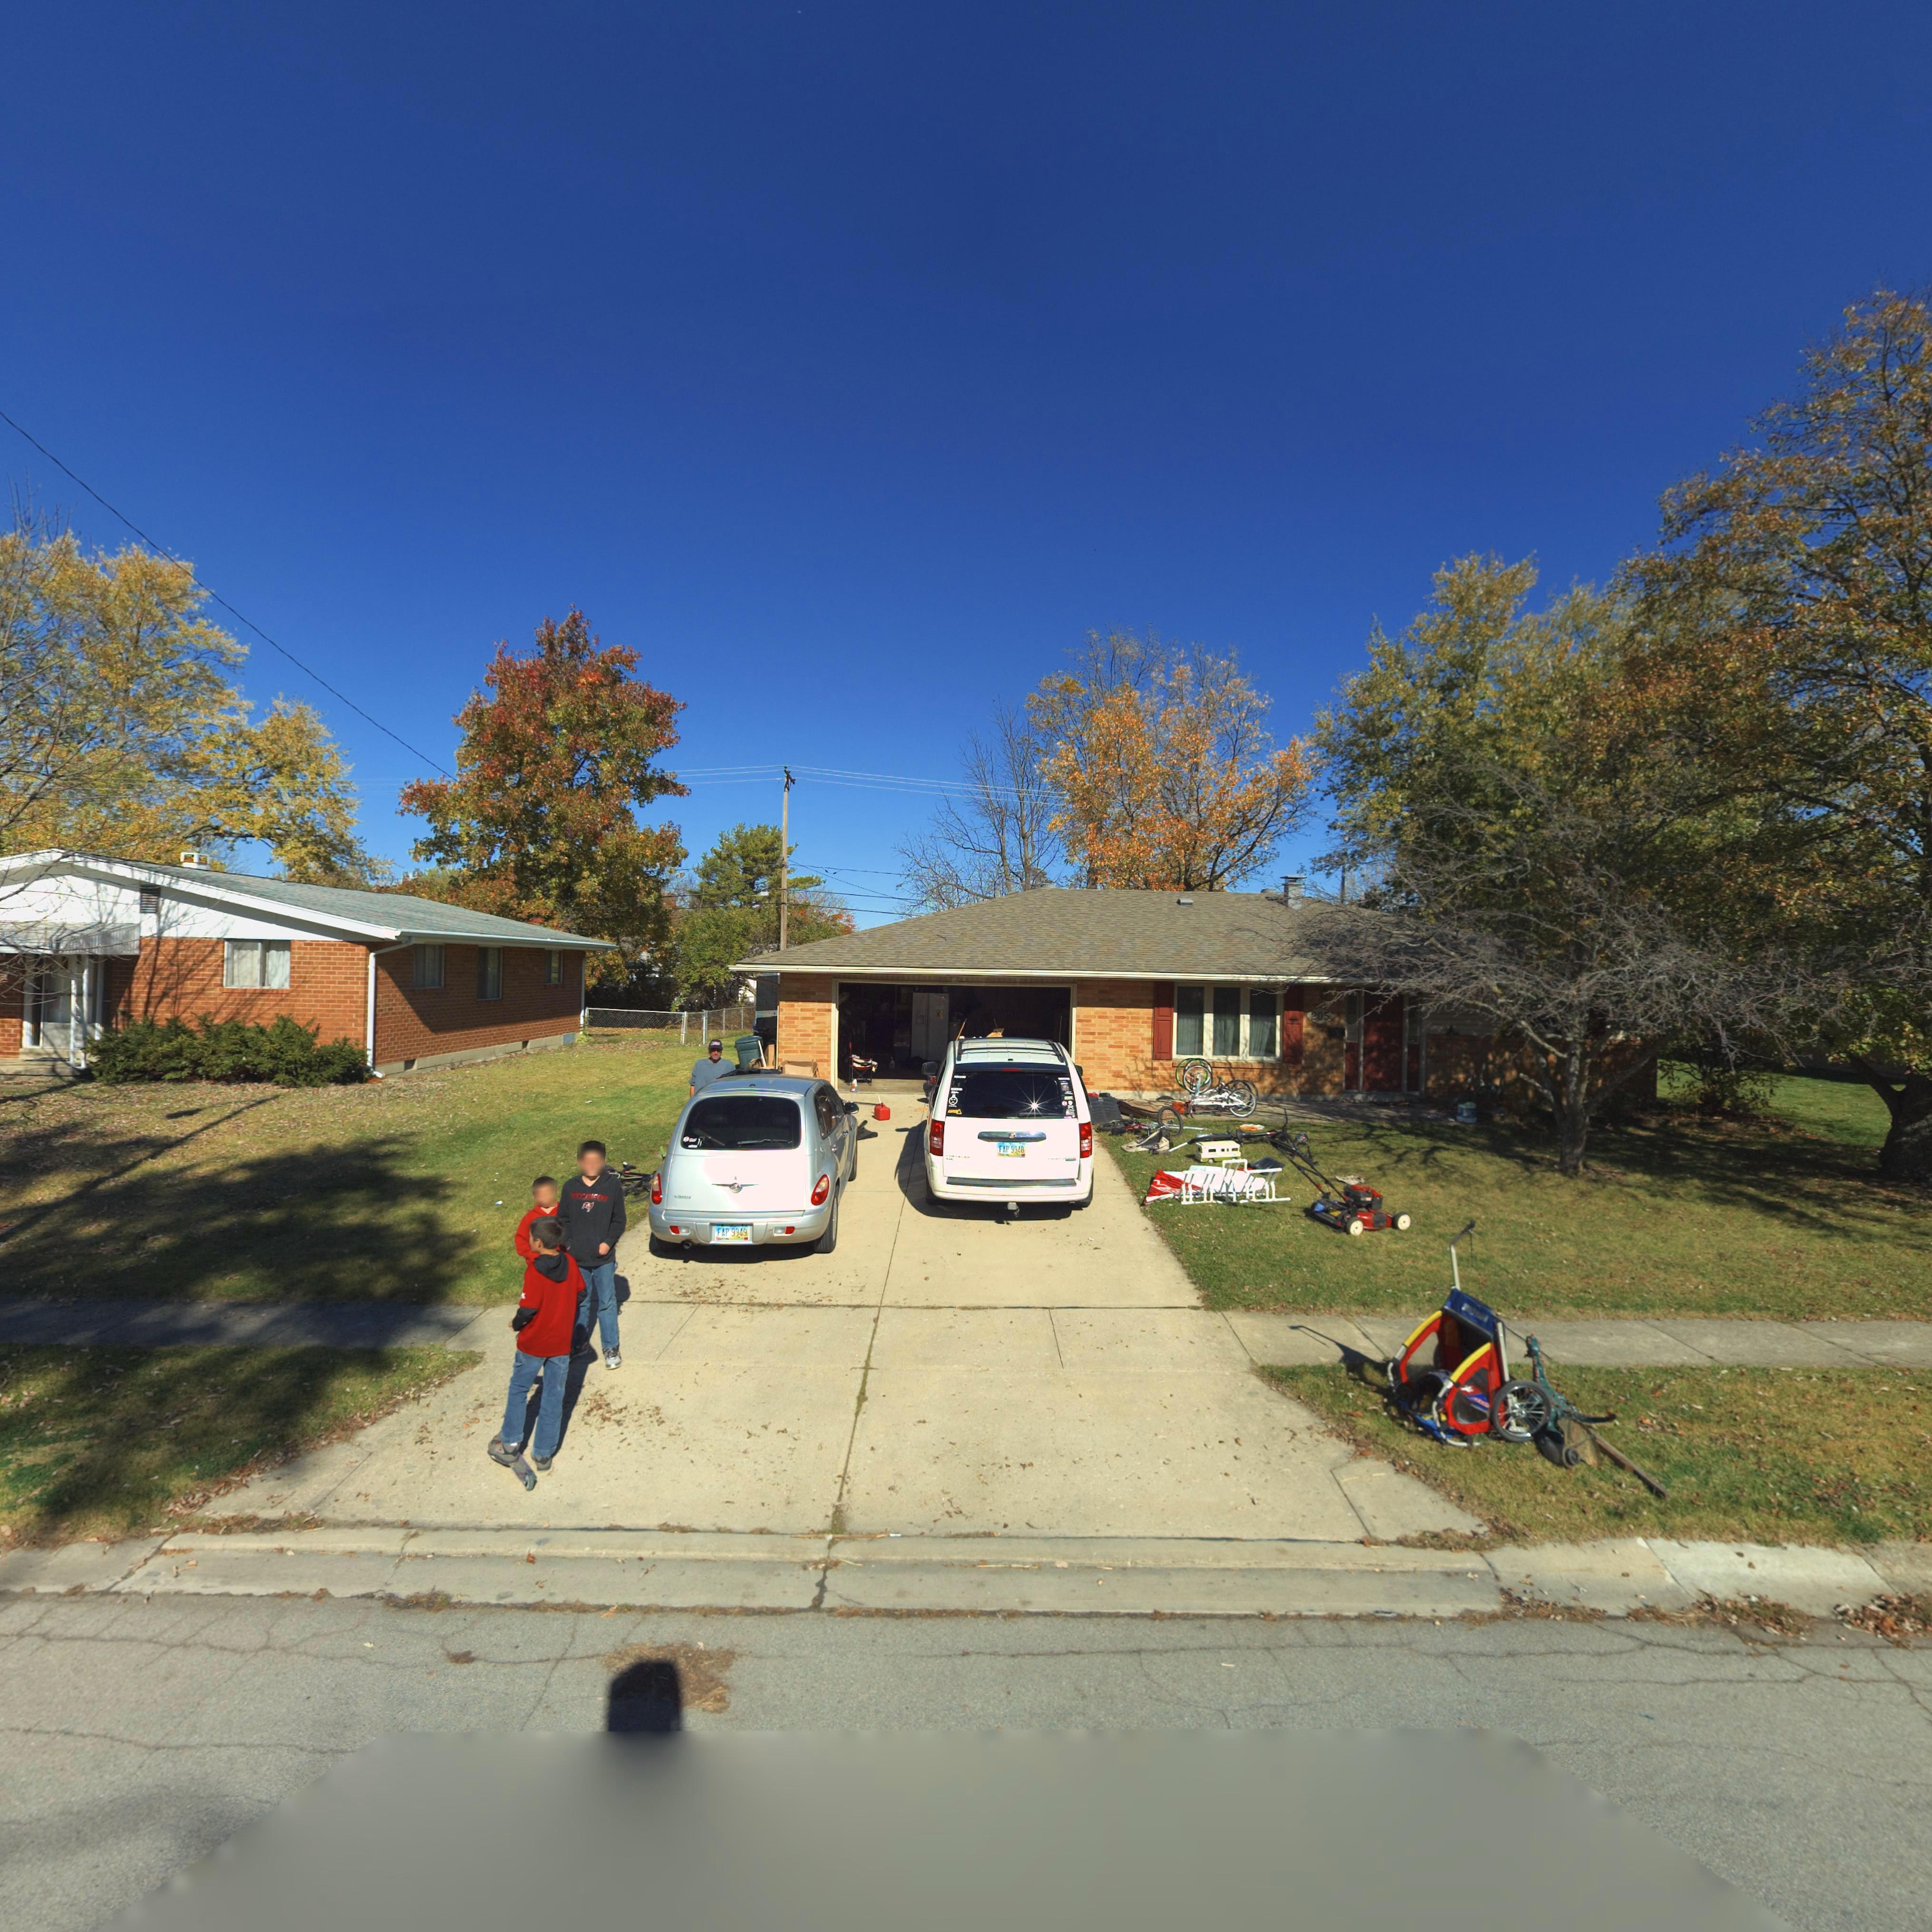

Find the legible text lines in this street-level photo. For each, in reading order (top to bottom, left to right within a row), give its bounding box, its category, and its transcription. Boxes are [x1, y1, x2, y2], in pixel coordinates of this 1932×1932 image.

[1310, 1010, 1330, 1021] StreetNumber: 205